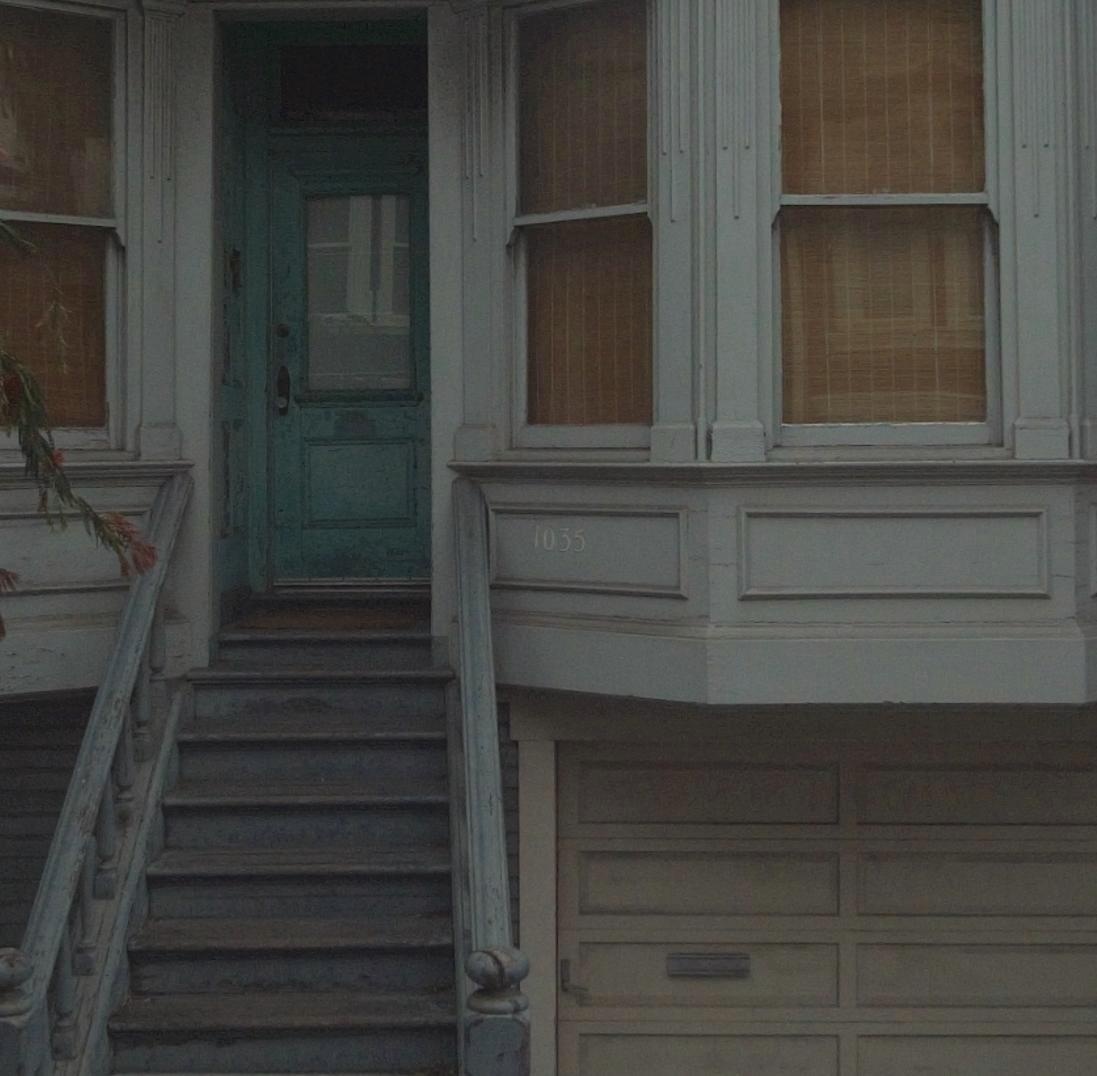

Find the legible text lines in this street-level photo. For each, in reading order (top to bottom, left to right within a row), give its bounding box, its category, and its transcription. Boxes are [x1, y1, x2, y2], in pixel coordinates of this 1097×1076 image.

[532, 522, 588, 557] StreetNumber: 1035